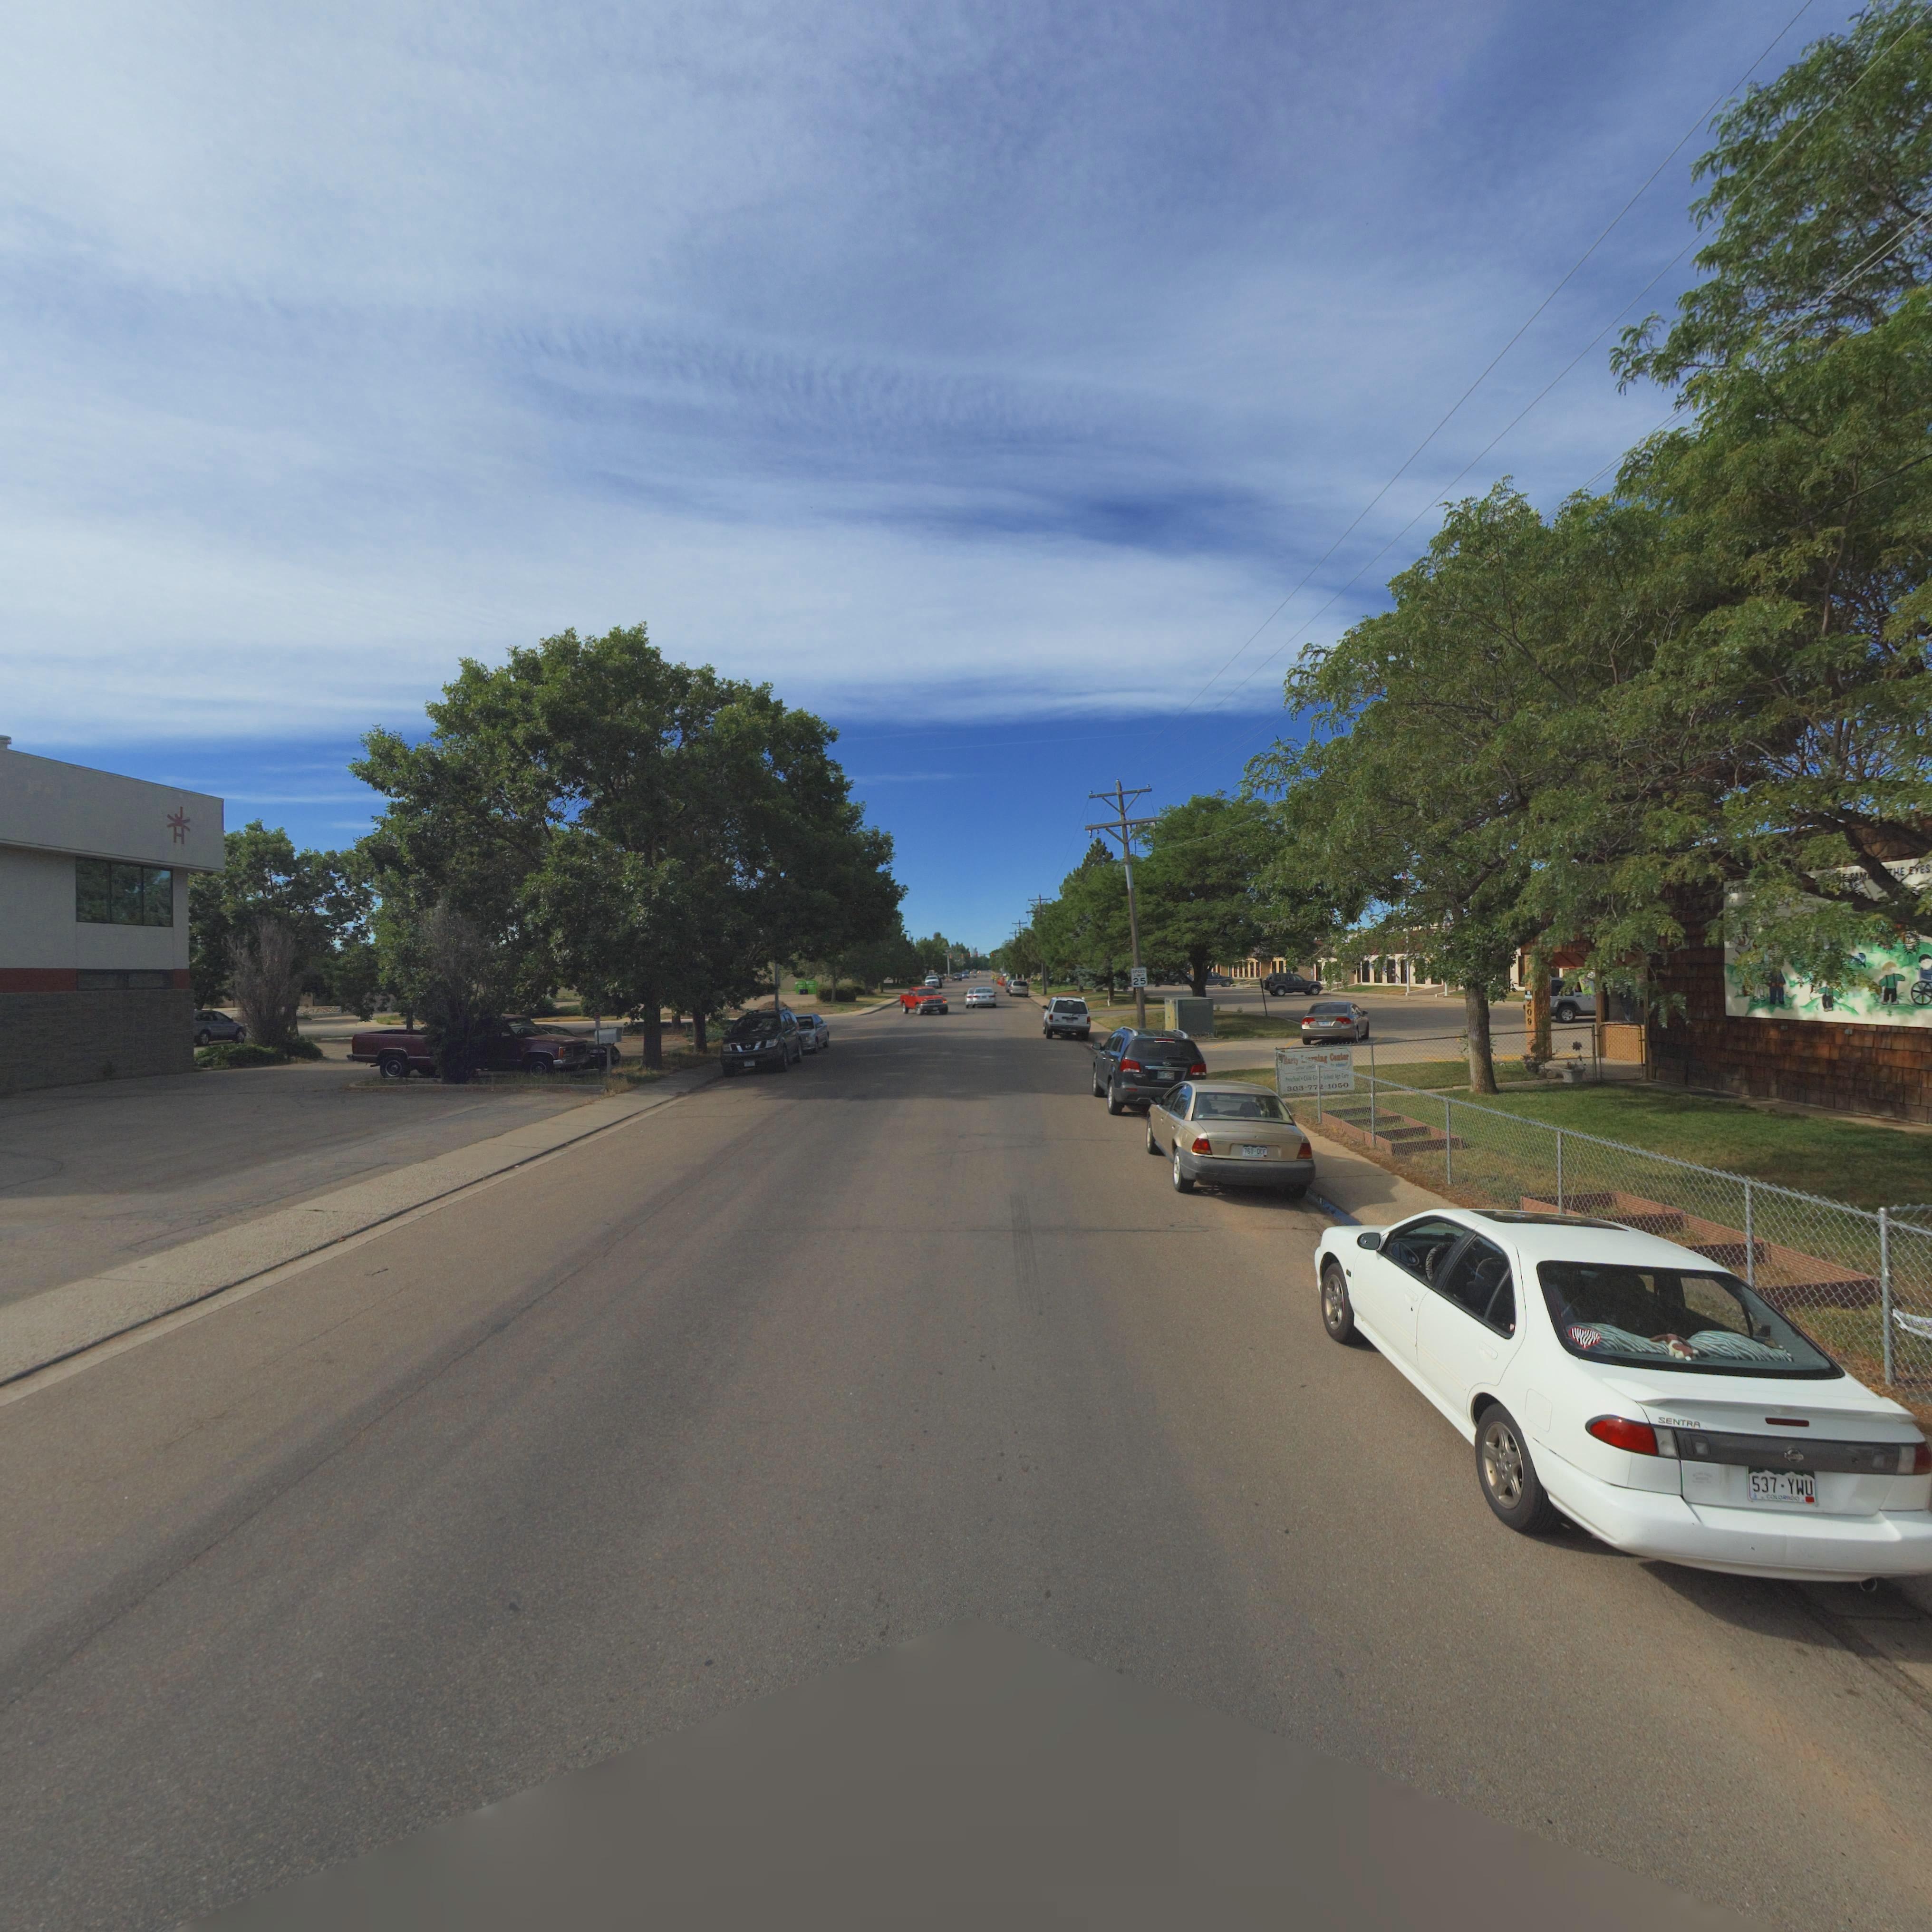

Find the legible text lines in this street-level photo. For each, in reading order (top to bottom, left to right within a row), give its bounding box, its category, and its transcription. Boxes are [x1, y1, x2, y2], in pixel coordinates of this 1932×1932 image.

[1526, 998, 1532, 1025] StreetNumber: 209